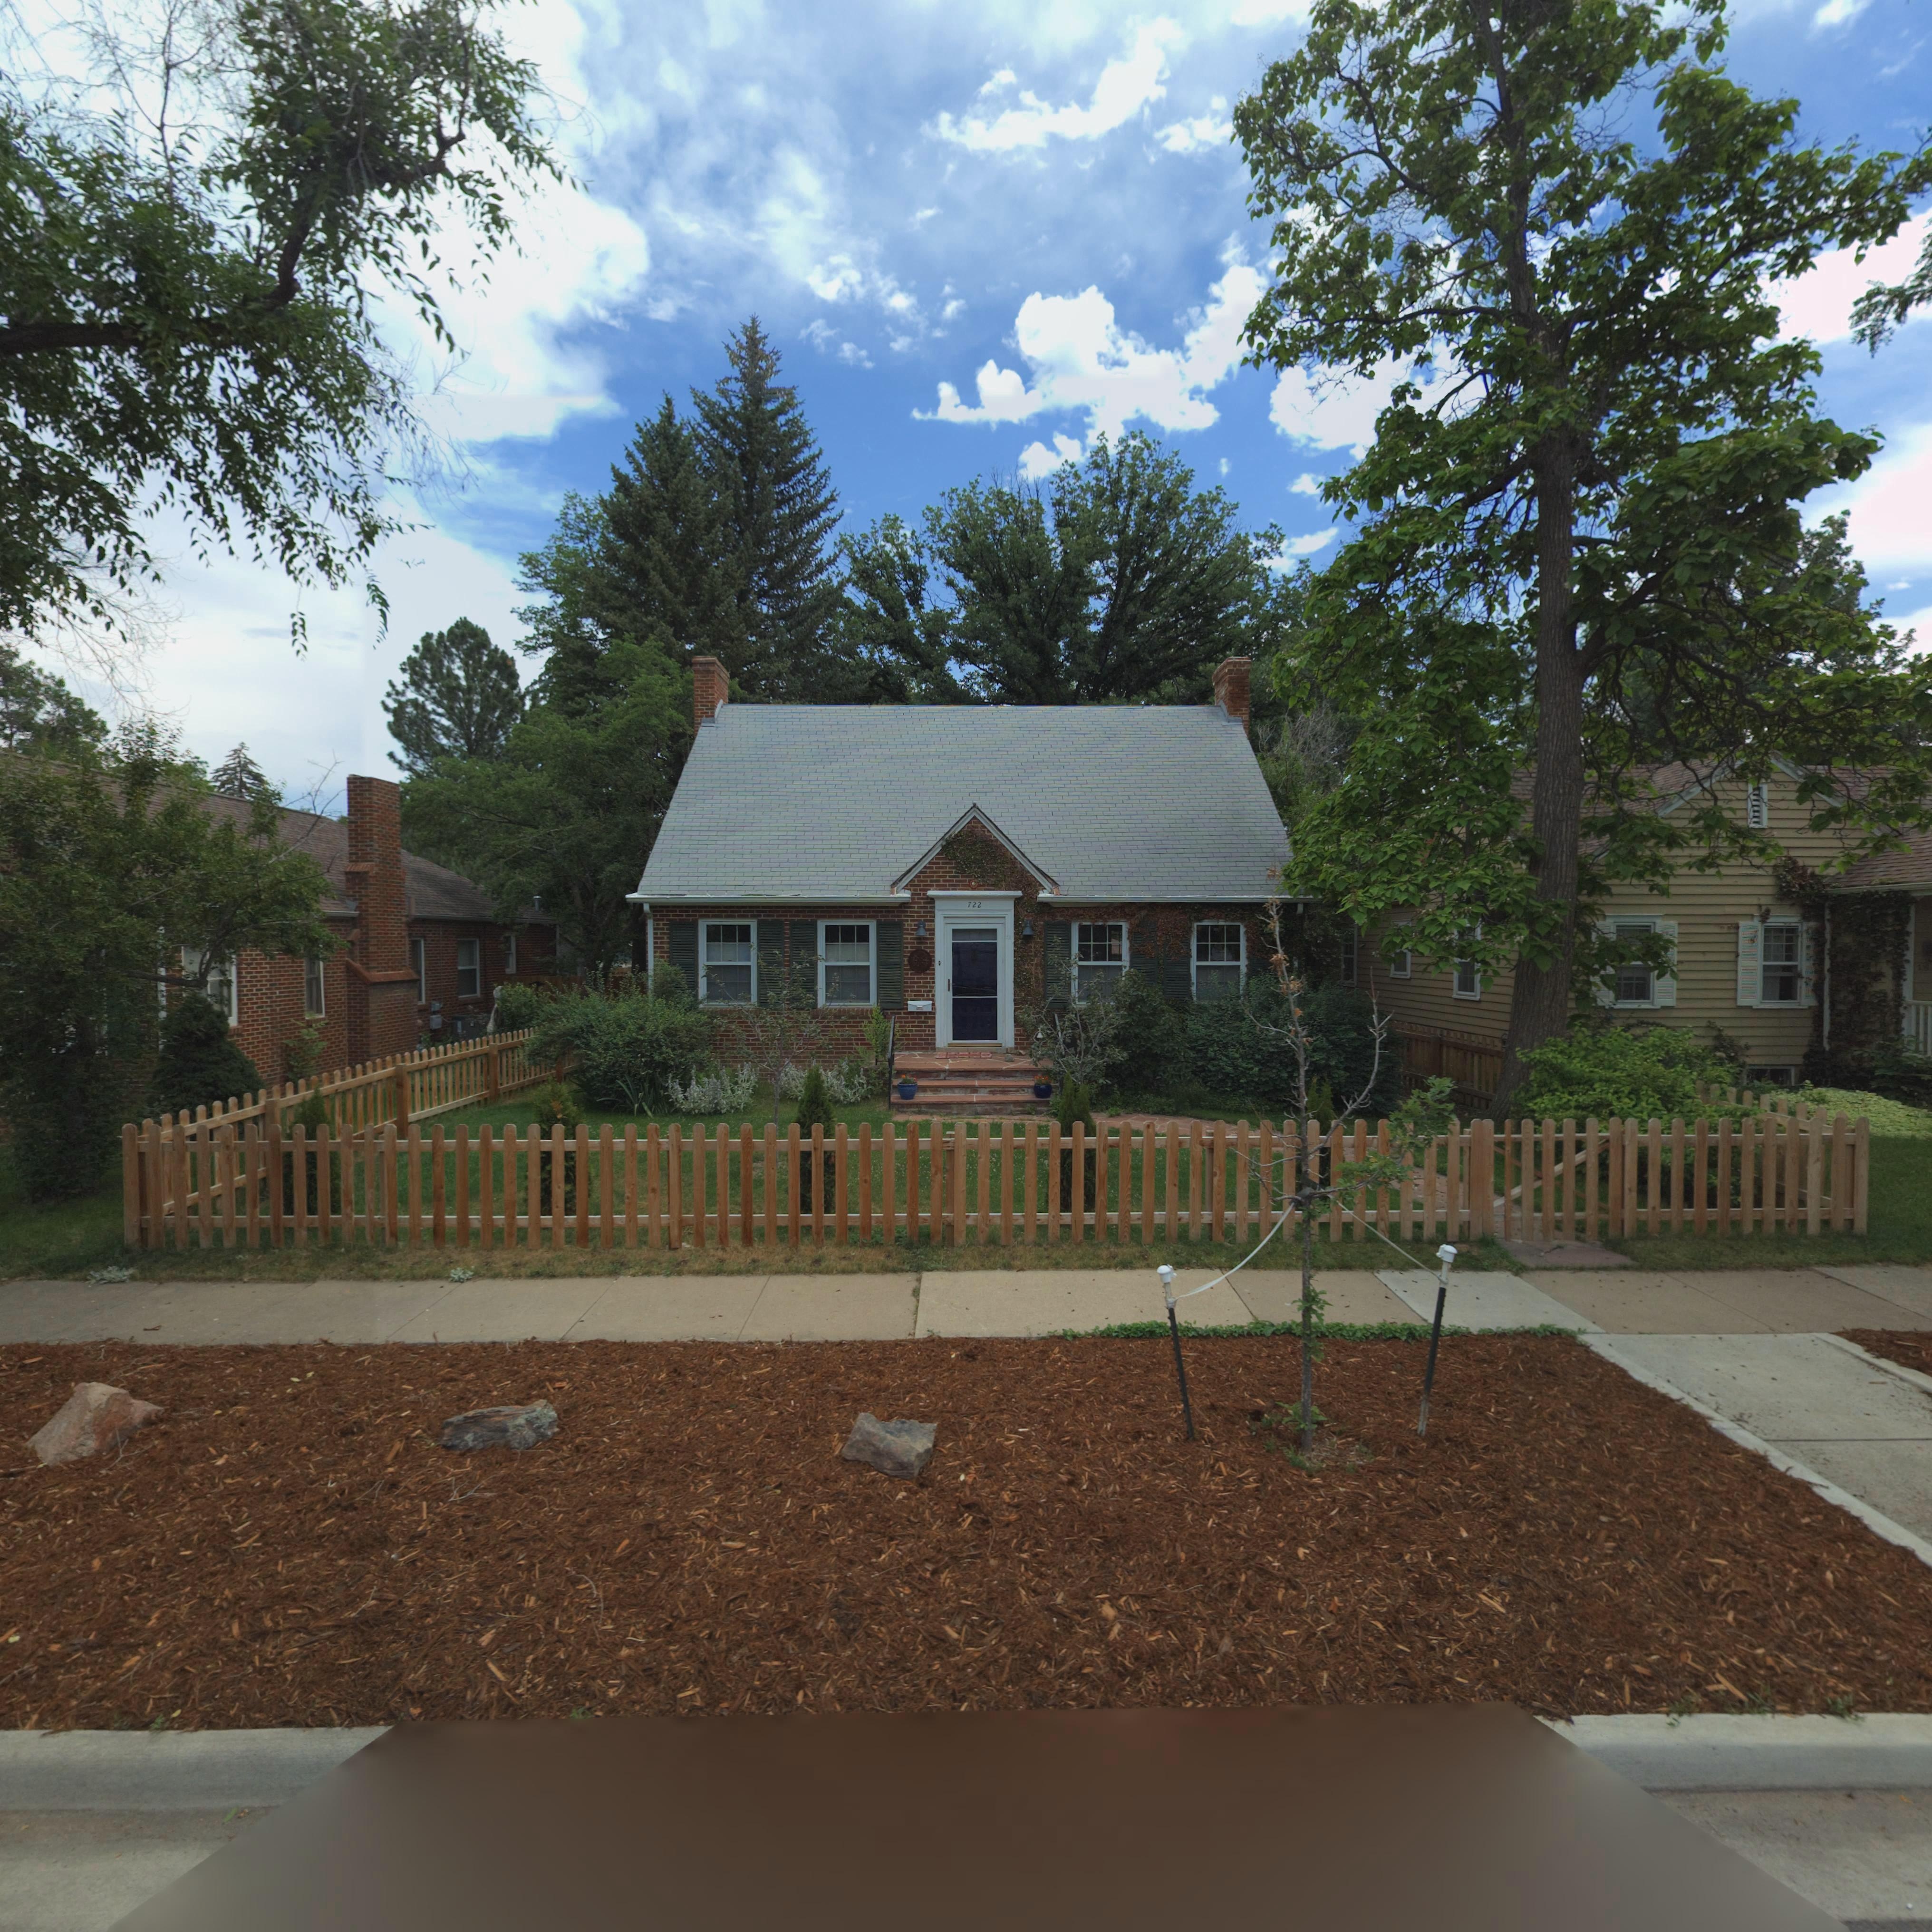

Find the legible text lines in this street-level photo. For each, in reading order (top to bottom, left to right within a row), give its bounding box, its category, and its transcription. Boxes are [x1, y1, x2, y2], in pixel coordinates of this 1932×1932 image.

[968, 901, 981, 908] StreetNumber: 722